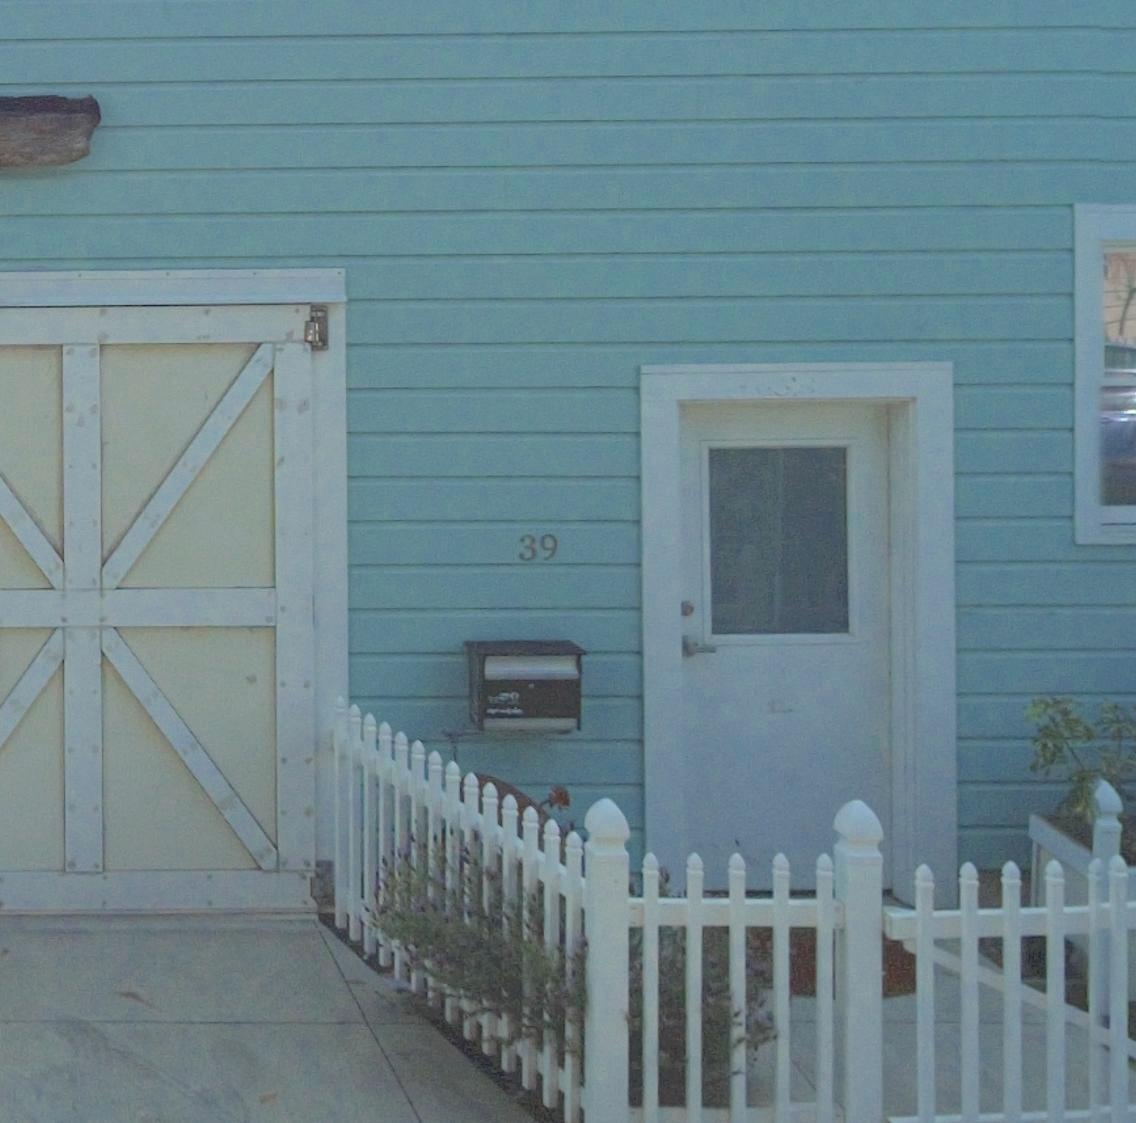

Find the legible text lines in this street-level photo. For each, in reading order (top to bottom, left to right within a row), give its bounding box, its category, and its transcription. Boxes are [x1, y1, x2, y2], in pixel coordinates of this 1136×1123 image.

[515, 530, 565, 566] StreetNumber: 39